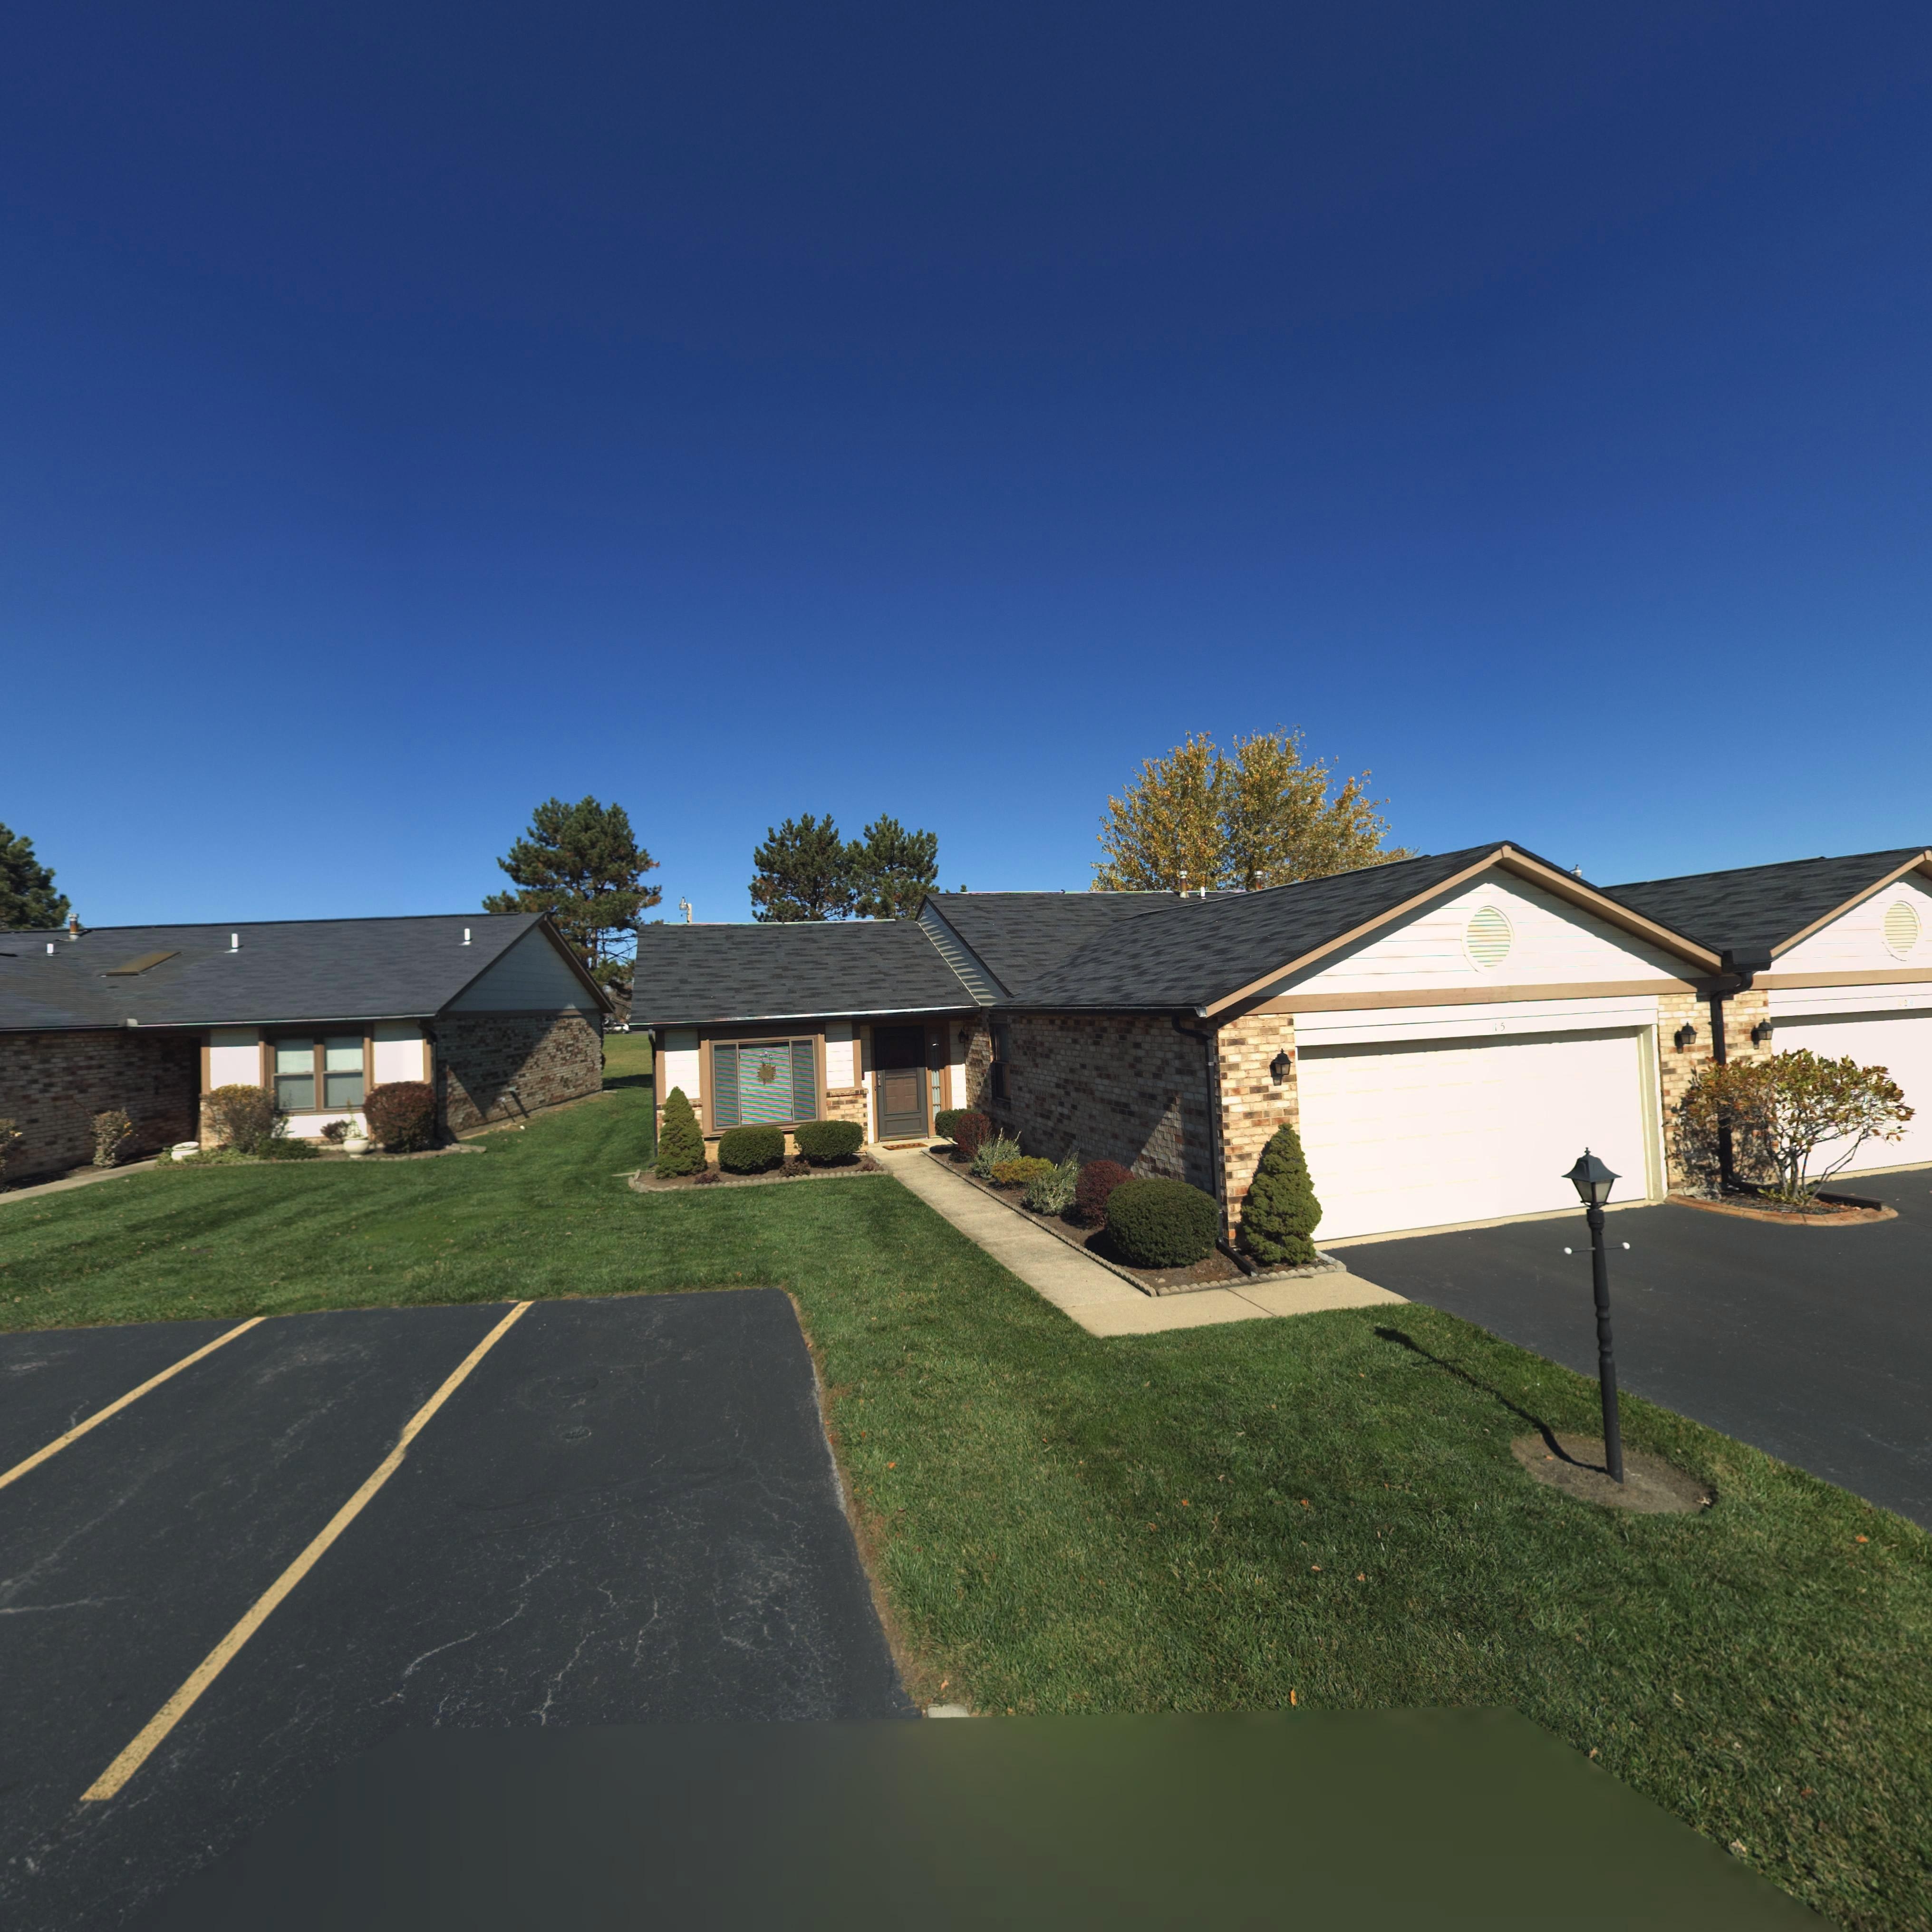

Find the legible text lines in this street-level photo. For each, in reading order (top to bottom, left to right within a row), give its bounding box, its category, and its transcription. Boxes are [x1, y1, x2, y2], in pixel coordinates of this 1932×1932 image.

[1896, 998, 1915, 1008] StreetNumber: *2*
[1493, 1021, 1506, 1032] StreetNumber: 15